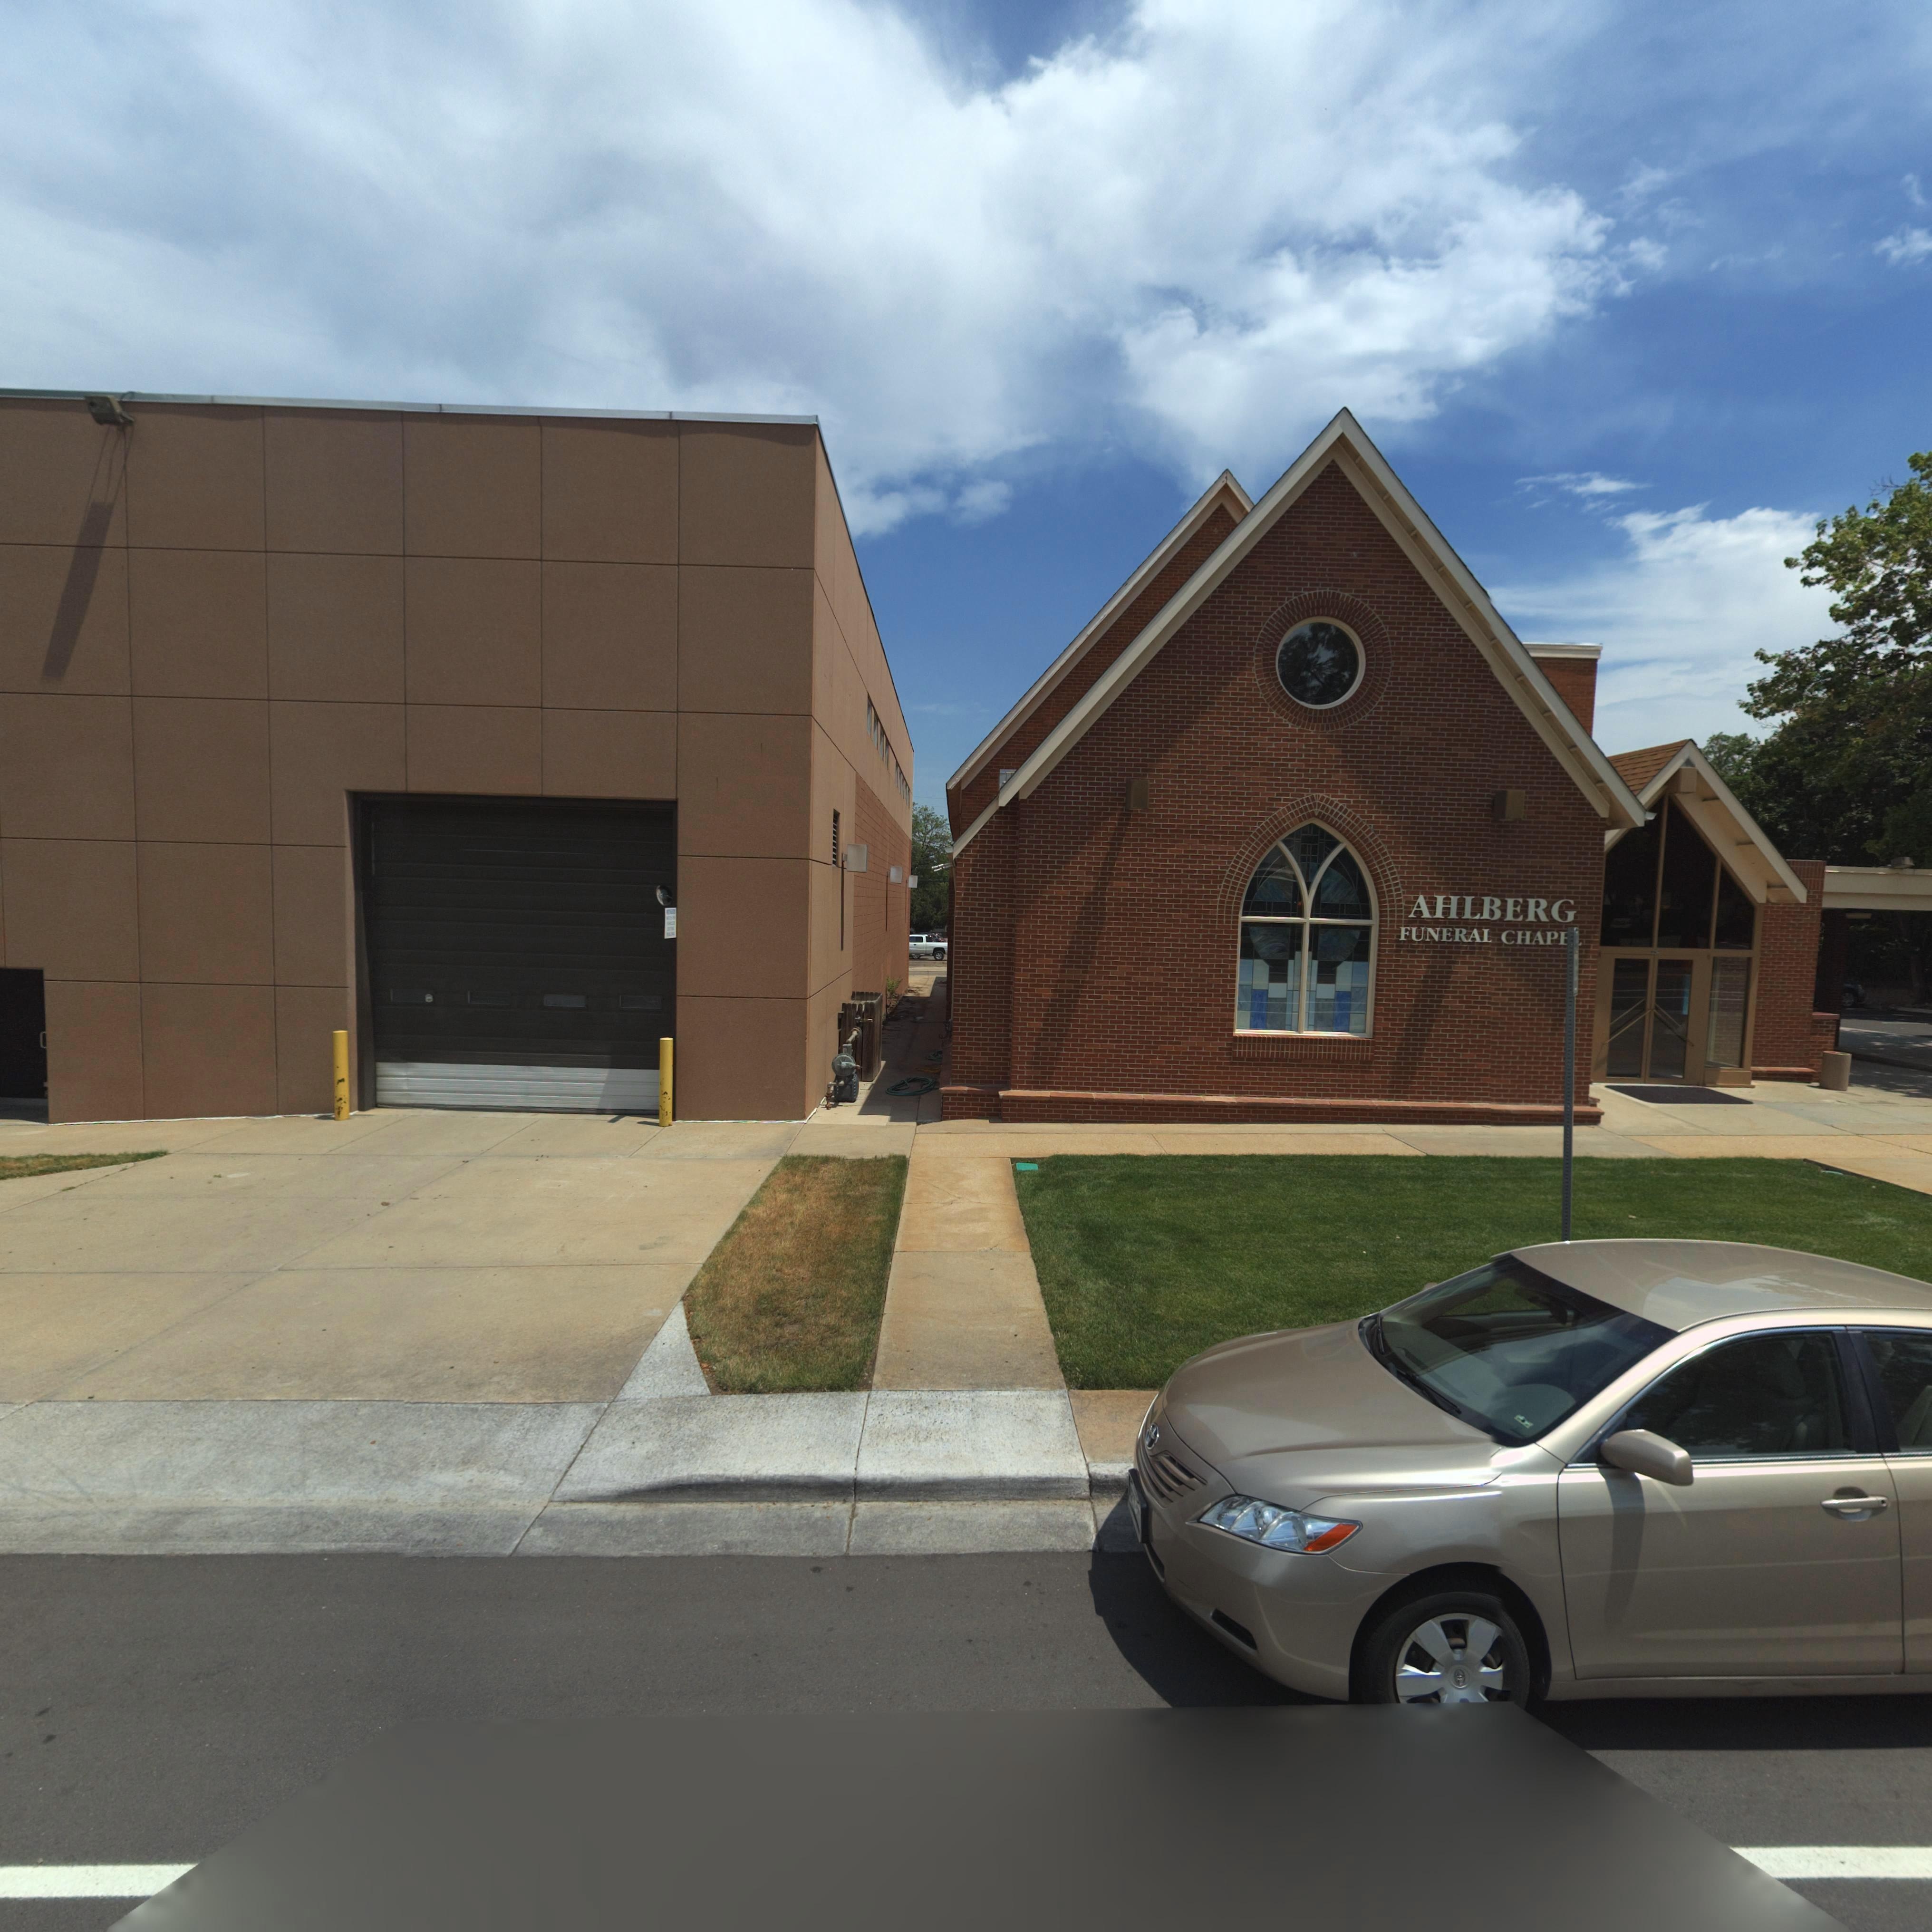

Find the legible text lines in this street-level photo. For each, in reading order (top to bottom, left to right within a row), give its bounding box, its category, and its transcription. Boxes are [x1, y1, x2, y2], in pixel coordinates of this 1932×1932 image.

[1406, 893, 1578, 924] BusinessName: AHLBERG
[1397, 926, 1559, 946] BusinessName: FUNERAL CHAP